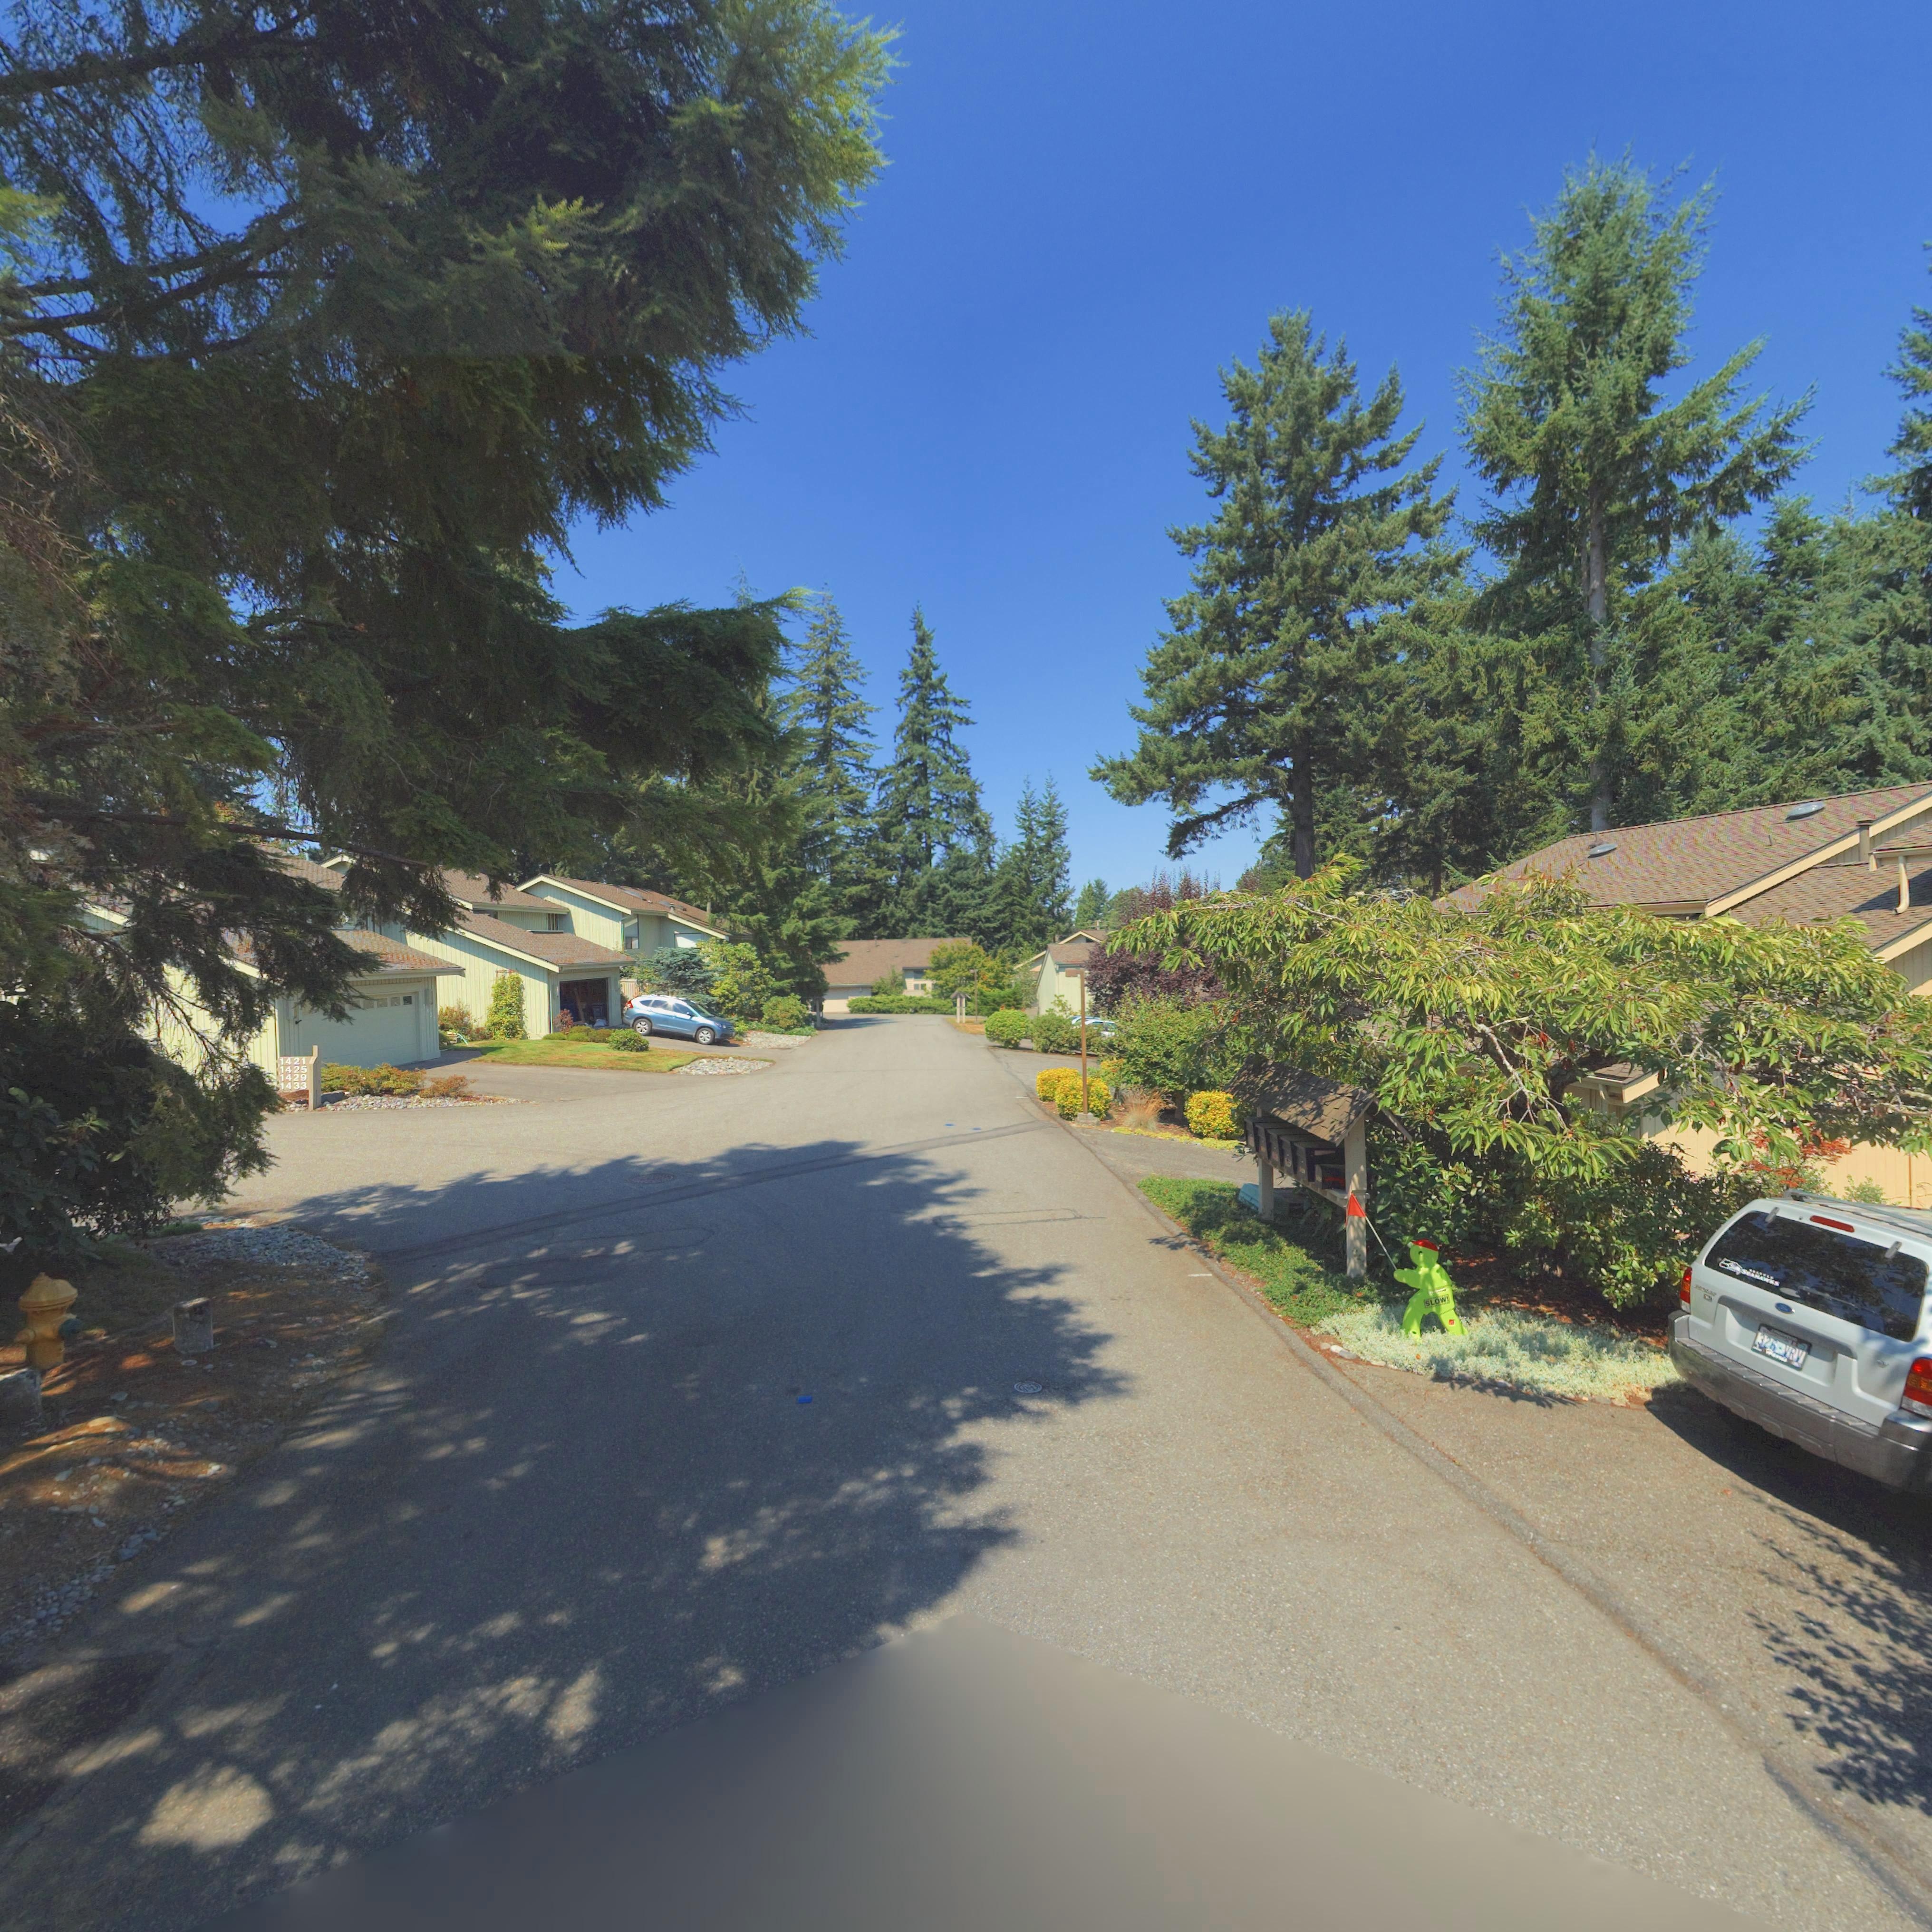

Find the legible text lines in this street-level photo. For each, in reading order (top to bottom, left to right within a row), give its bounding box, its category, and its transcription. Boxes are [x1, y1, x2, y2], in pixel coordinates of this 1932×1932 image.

[280, 1057, 305, 1064] StreetNumber: 1421
[280, 1066, 307, 1073] StreetNumber: 1425
[280, 1072, 307, 1082] StreetNumber: 1429
[280, 1082, 308, 1091] StreetNumber: 1433